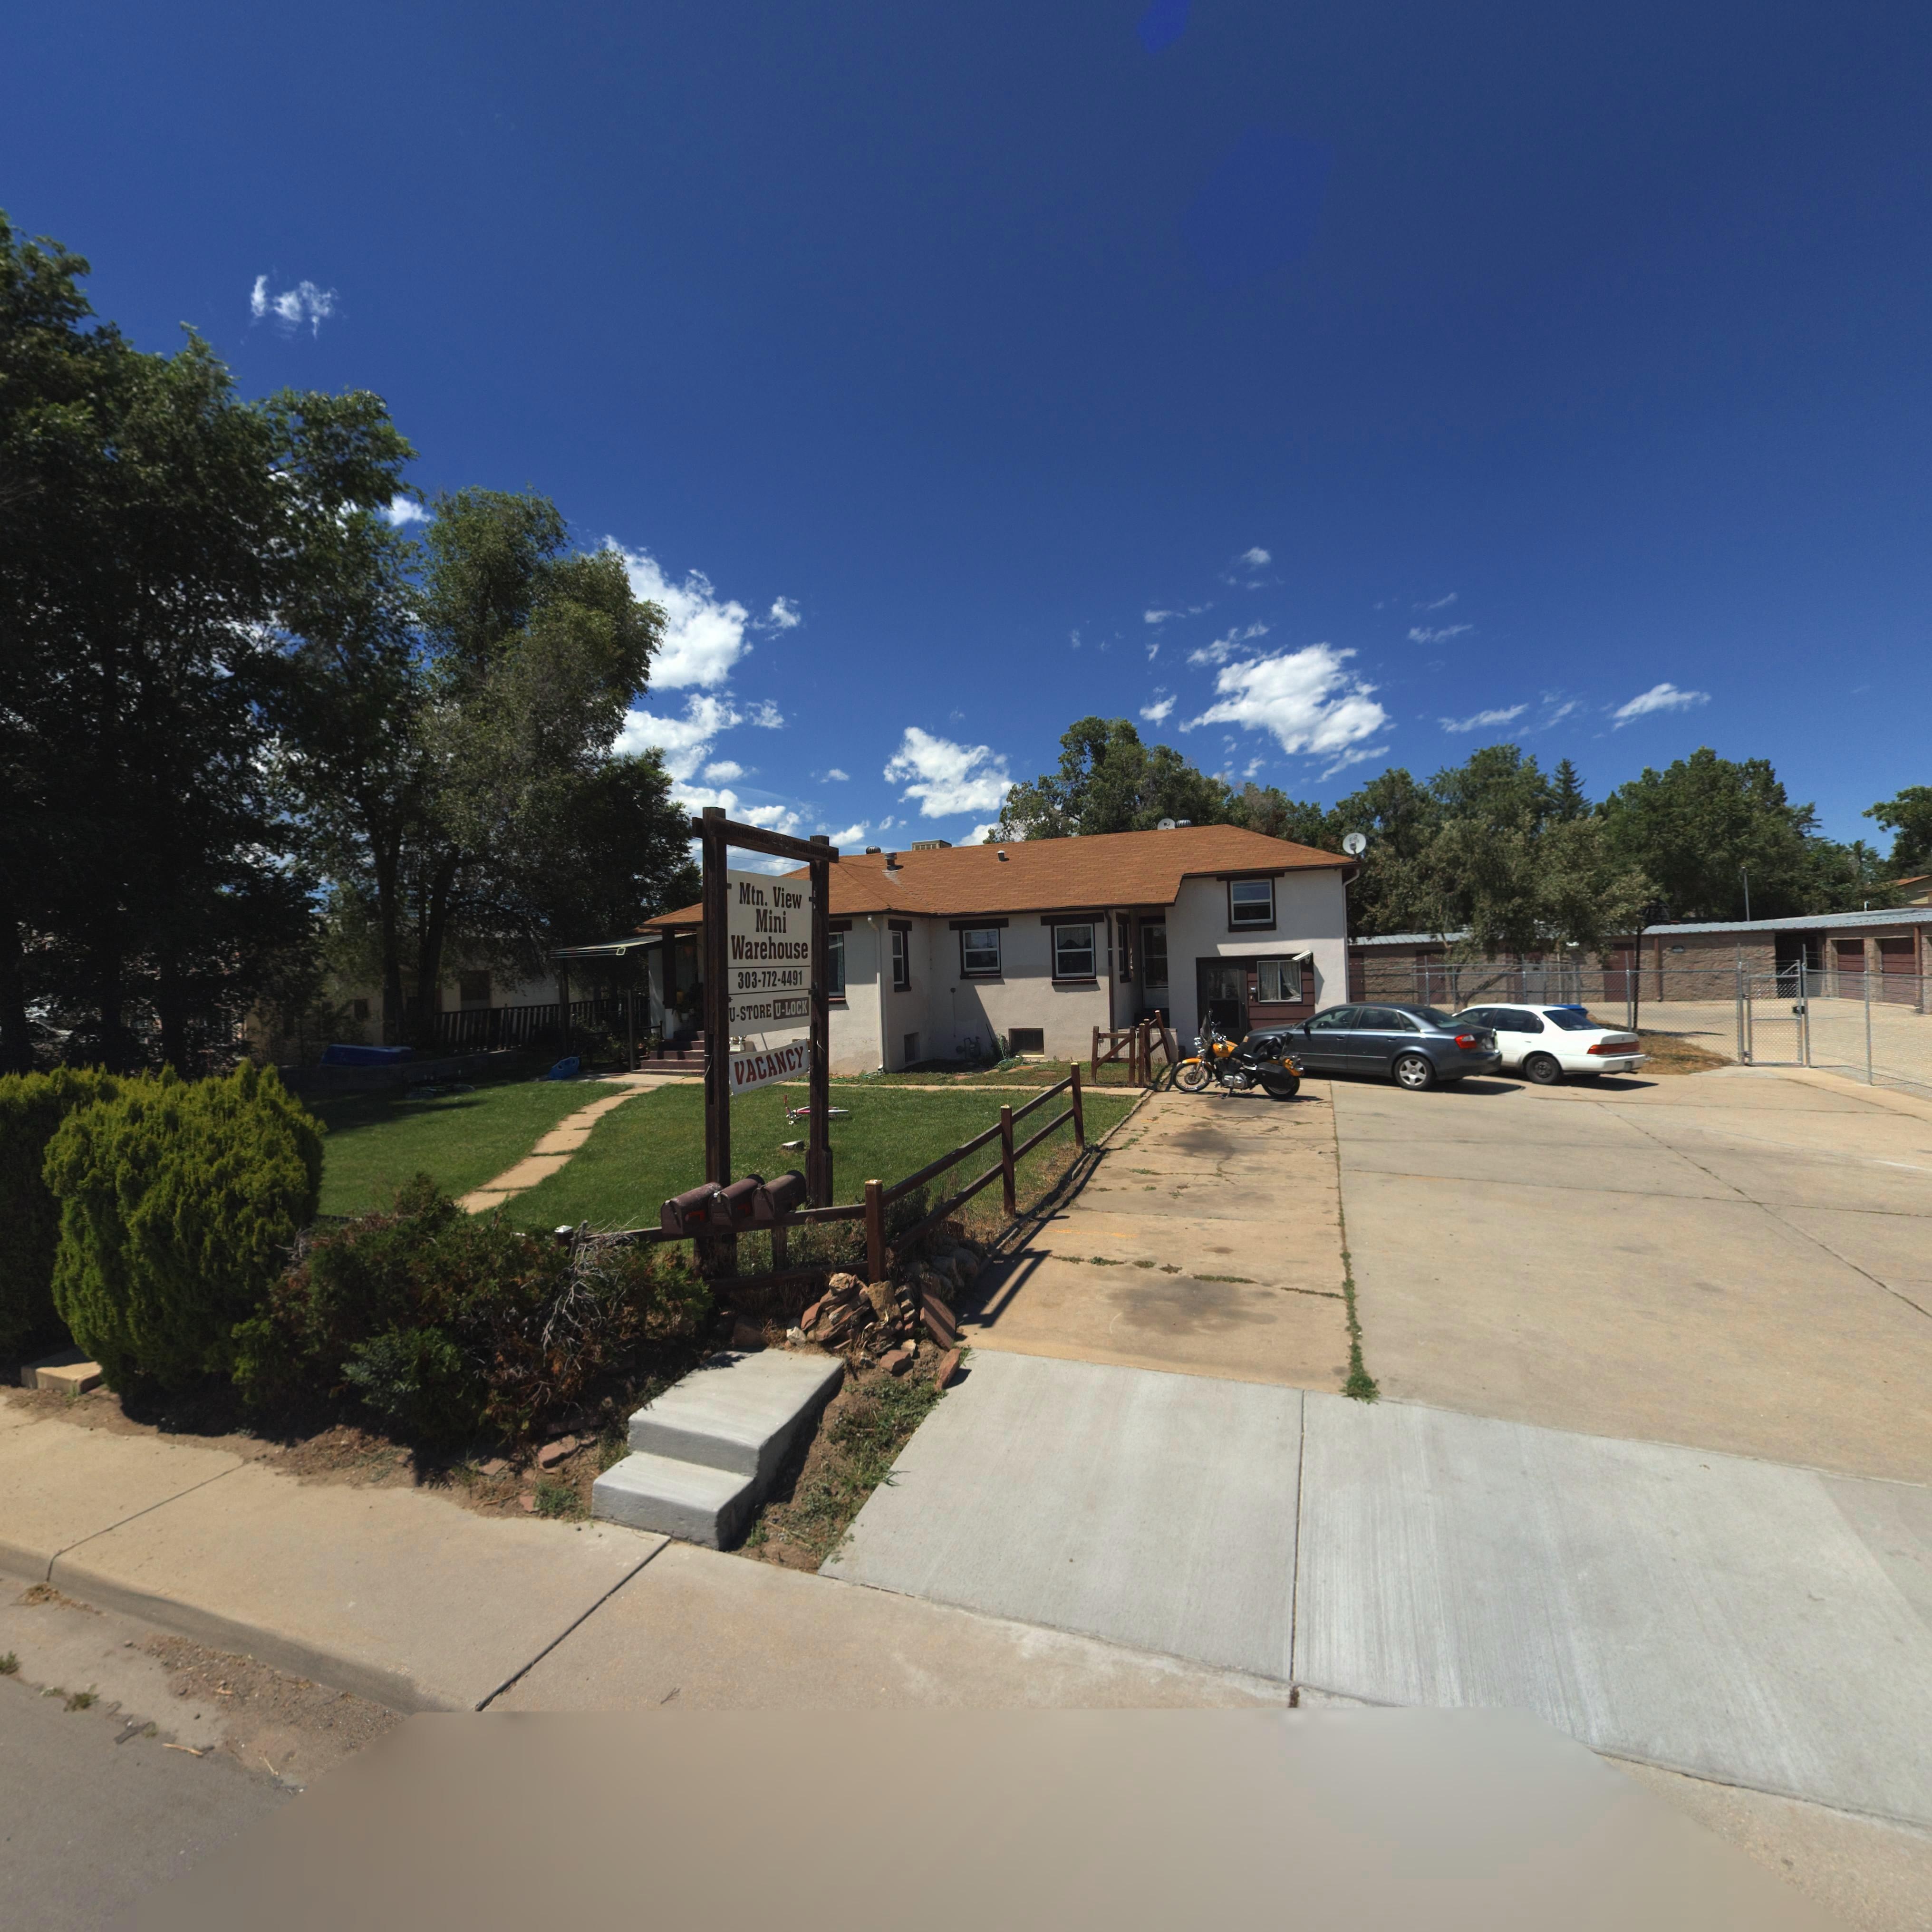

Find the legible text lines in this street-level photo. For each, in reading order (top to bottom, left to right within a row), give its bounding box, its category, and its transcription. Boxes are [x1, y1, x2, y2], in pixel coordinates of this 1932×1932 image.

[770, 834, 790, 850] StreetNumber: 440
[739, 881, 802, 909] BusinessName: Mtn. View
[755, 908, 786, 933] BusinessName: Mini
[730, 934, 809, 960] BusinessName: Warehouse